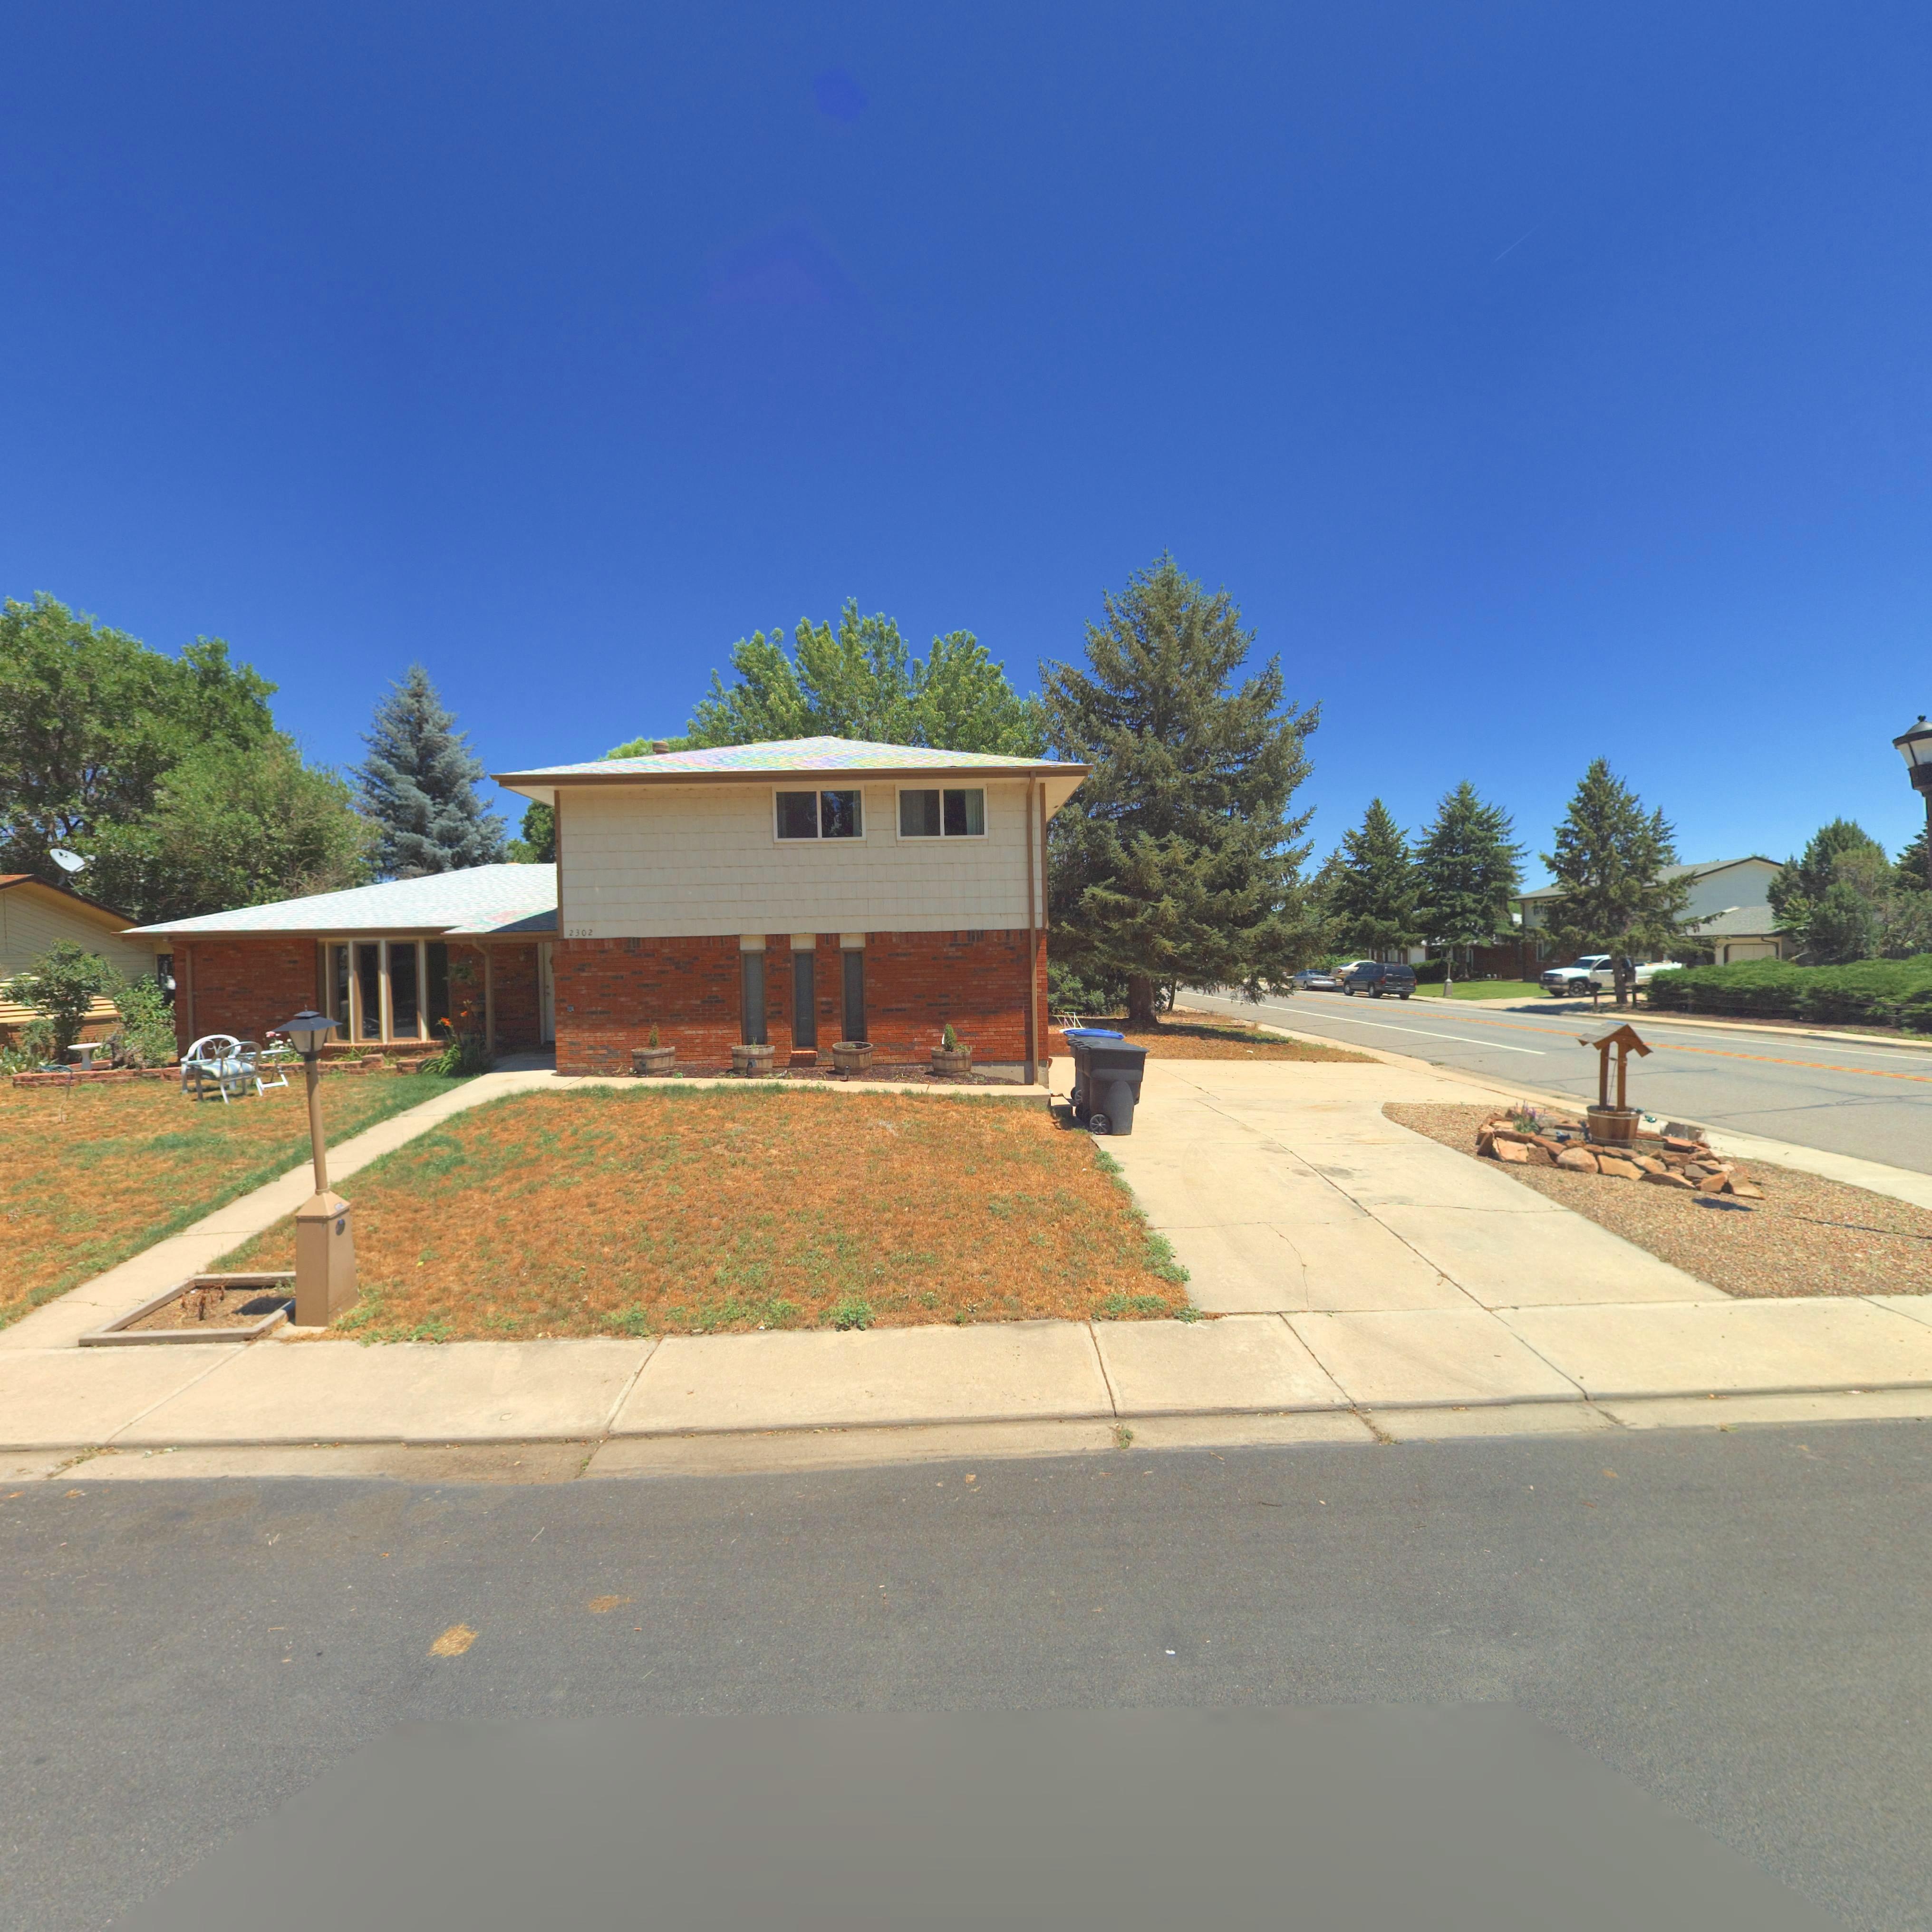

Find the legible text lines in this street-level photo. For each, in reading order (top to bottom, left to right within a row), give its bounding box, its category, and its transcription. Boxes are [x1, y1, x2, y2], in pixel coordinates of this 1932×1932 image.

[568, 928, 593, 937] StreetNumber: 2302